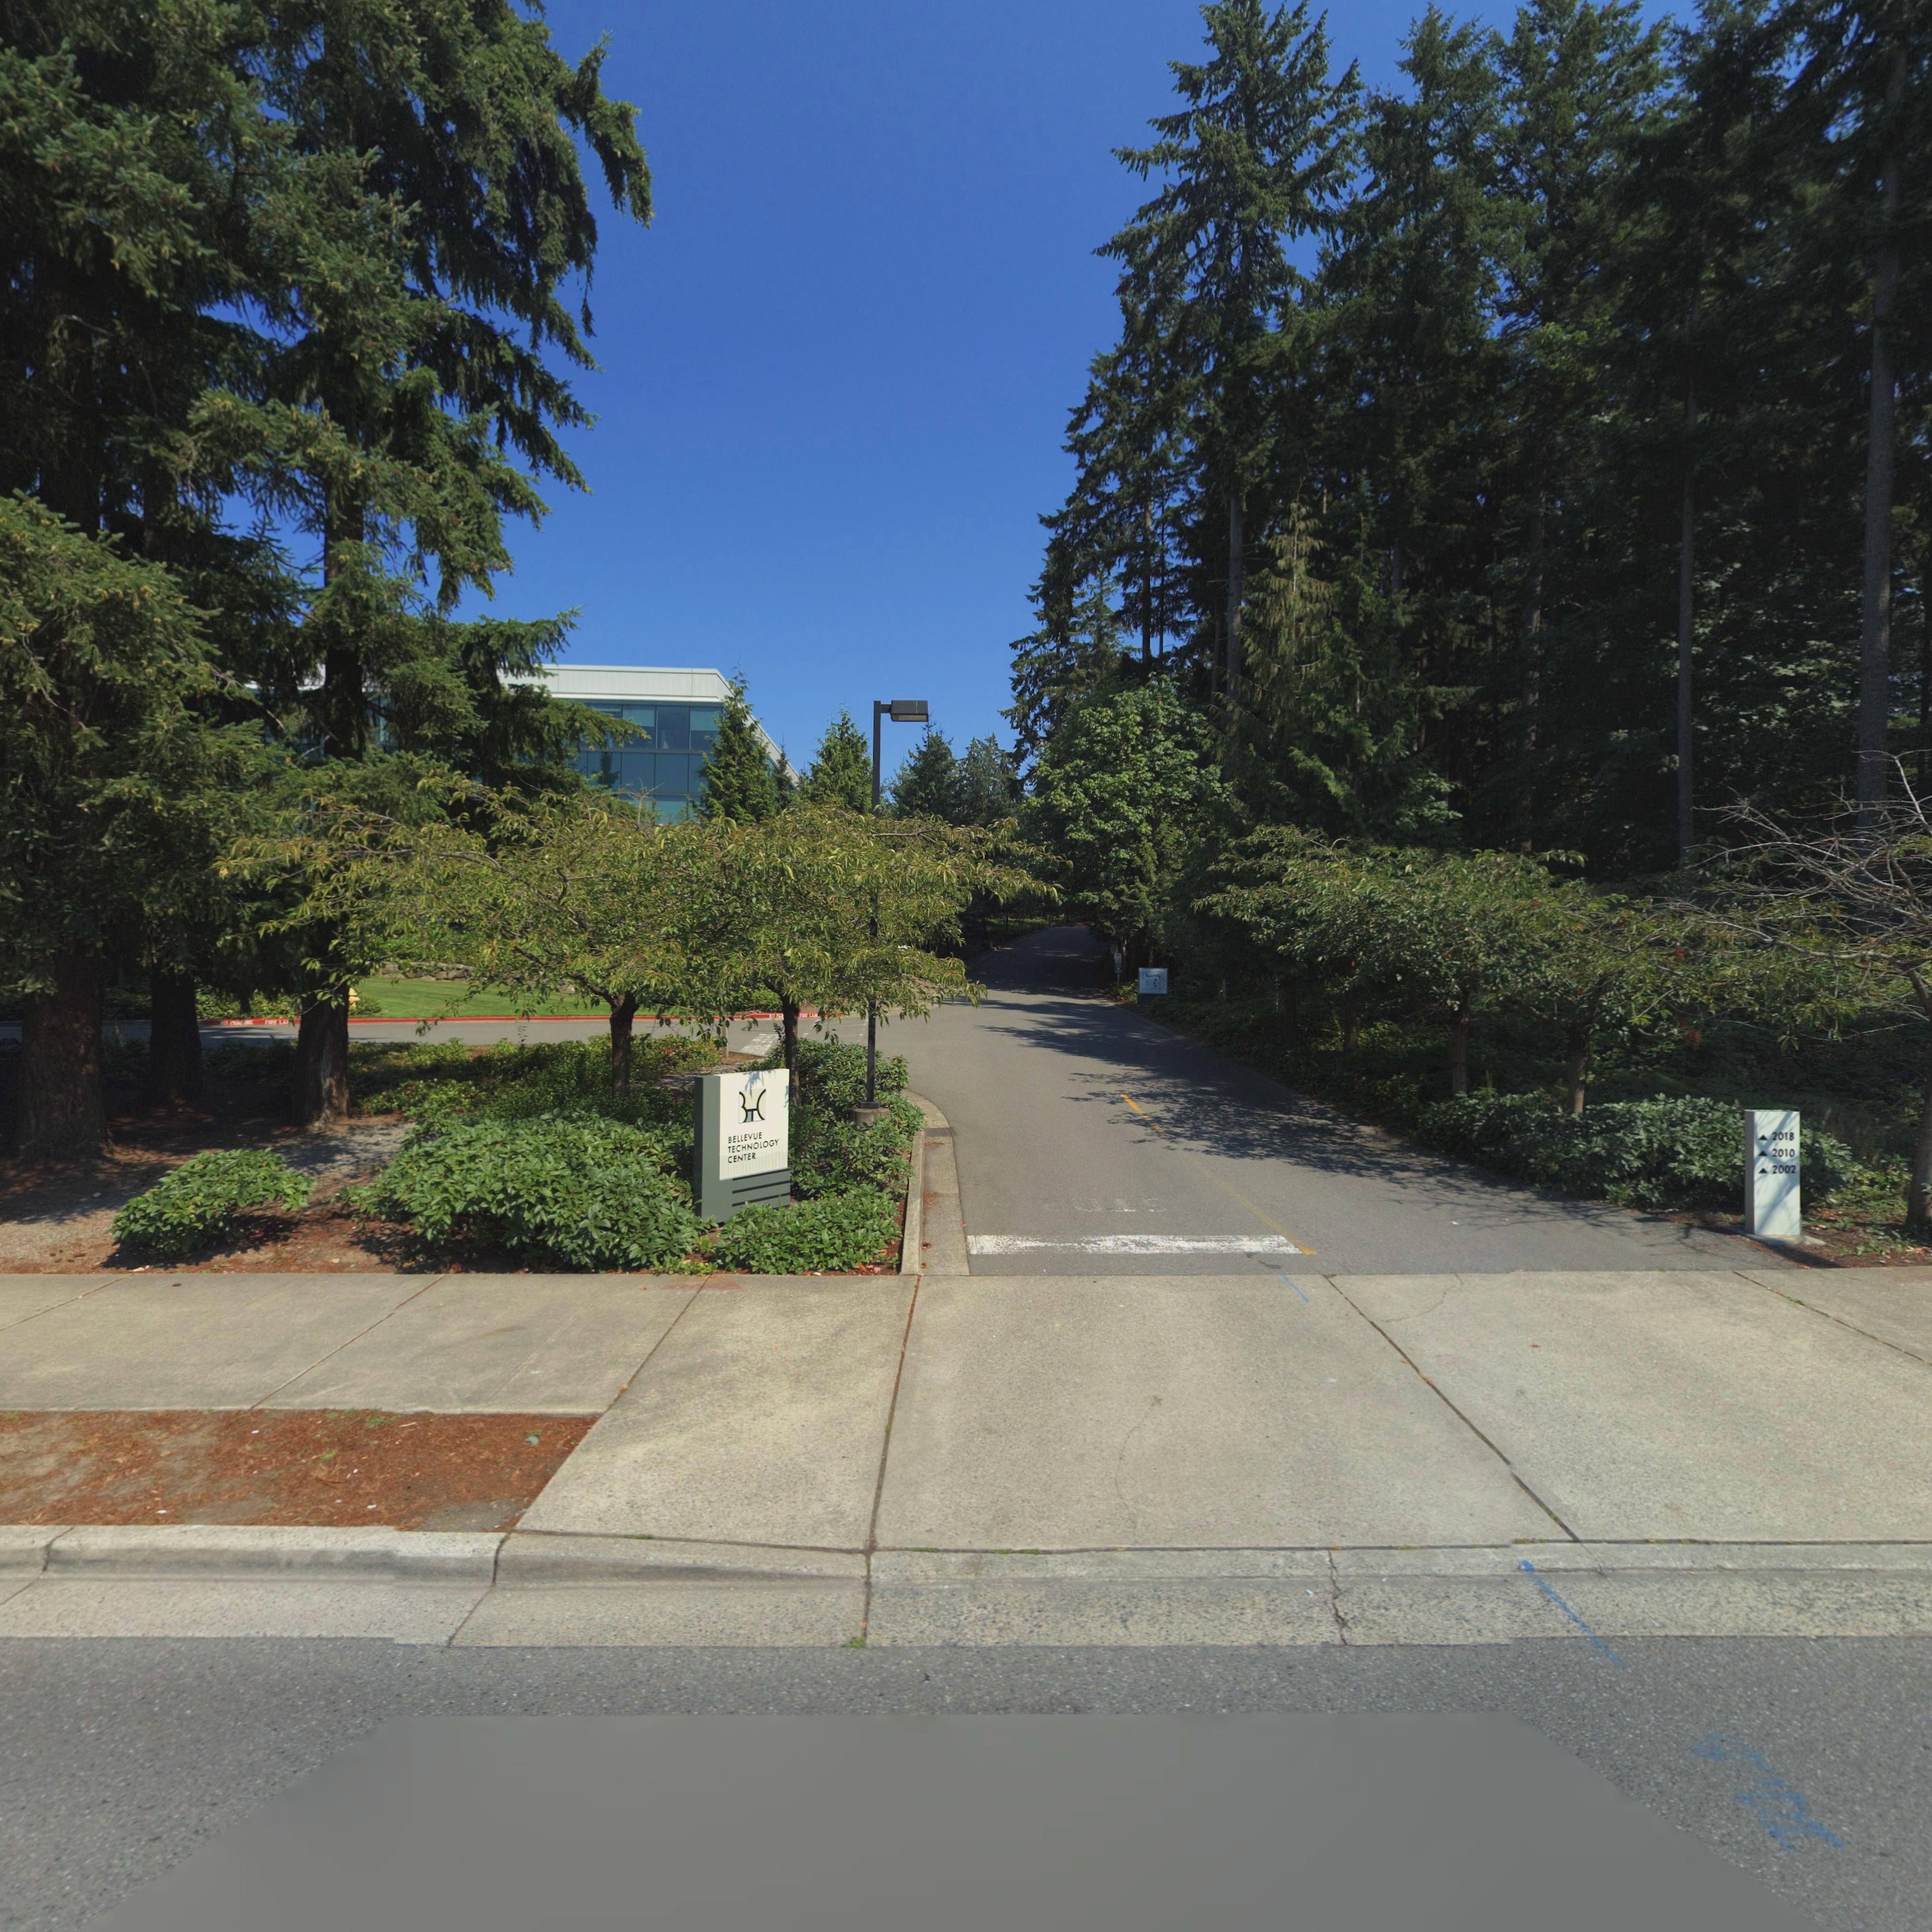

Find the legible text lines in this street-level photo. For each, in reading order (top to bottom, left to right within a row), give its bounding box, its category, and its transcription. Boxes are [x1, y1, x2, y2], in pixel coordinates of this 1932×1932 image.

[1771, 1130, 1794, 1140] StreetNumber: 2018
[1771, 1148, 1795, 1159] StreetNumber: 2010
[1771, 1164, 1797, 1175] StreetNumber: 2002